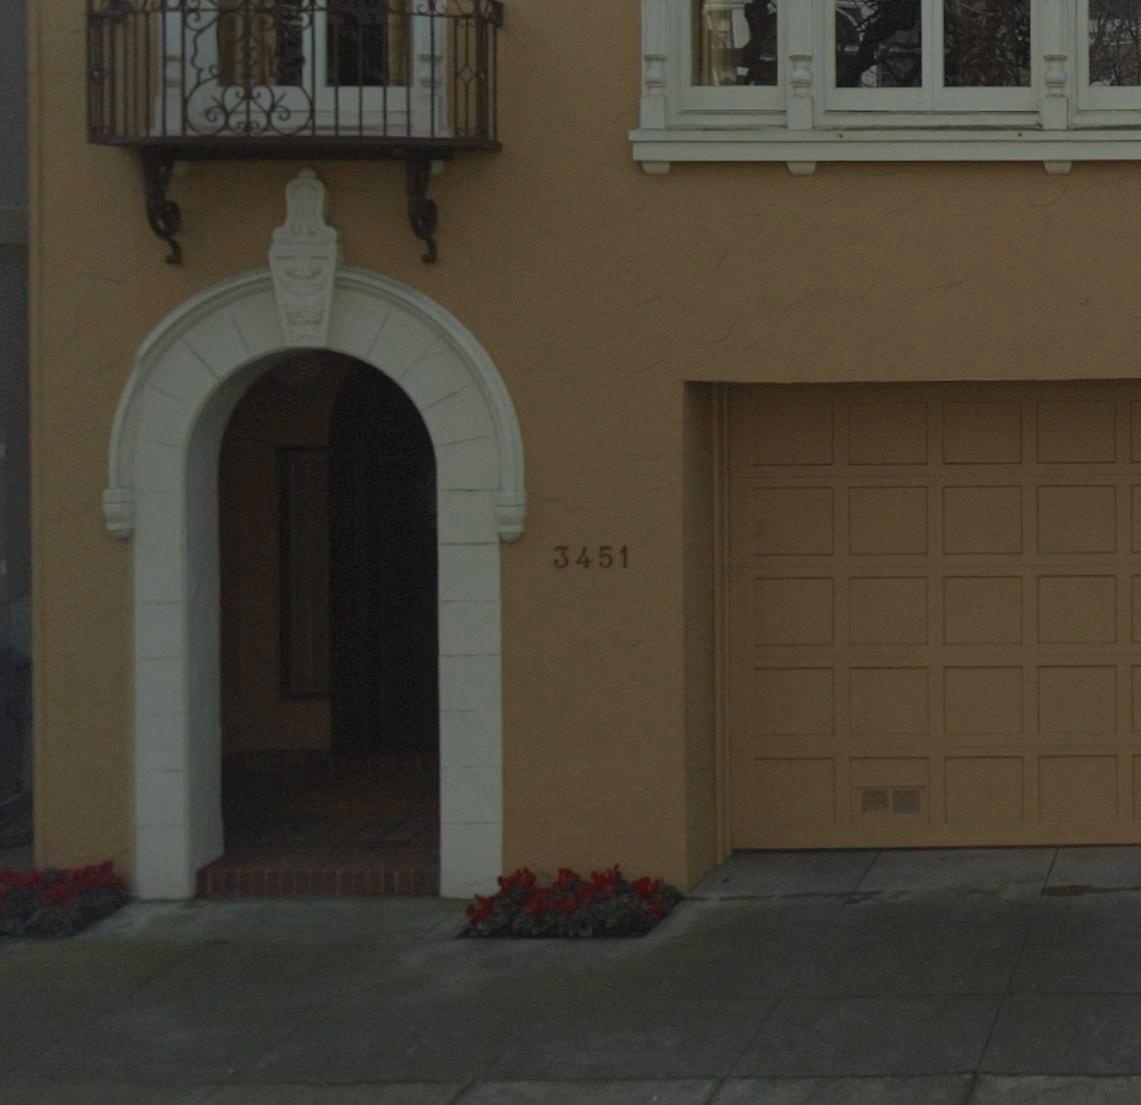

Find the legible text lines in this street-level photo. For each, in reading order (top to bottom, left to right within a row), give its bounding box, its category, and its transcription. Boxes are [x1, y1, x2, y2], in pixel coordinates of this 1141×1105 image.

[550, 542, 631, 572] StreetNumber: 3451